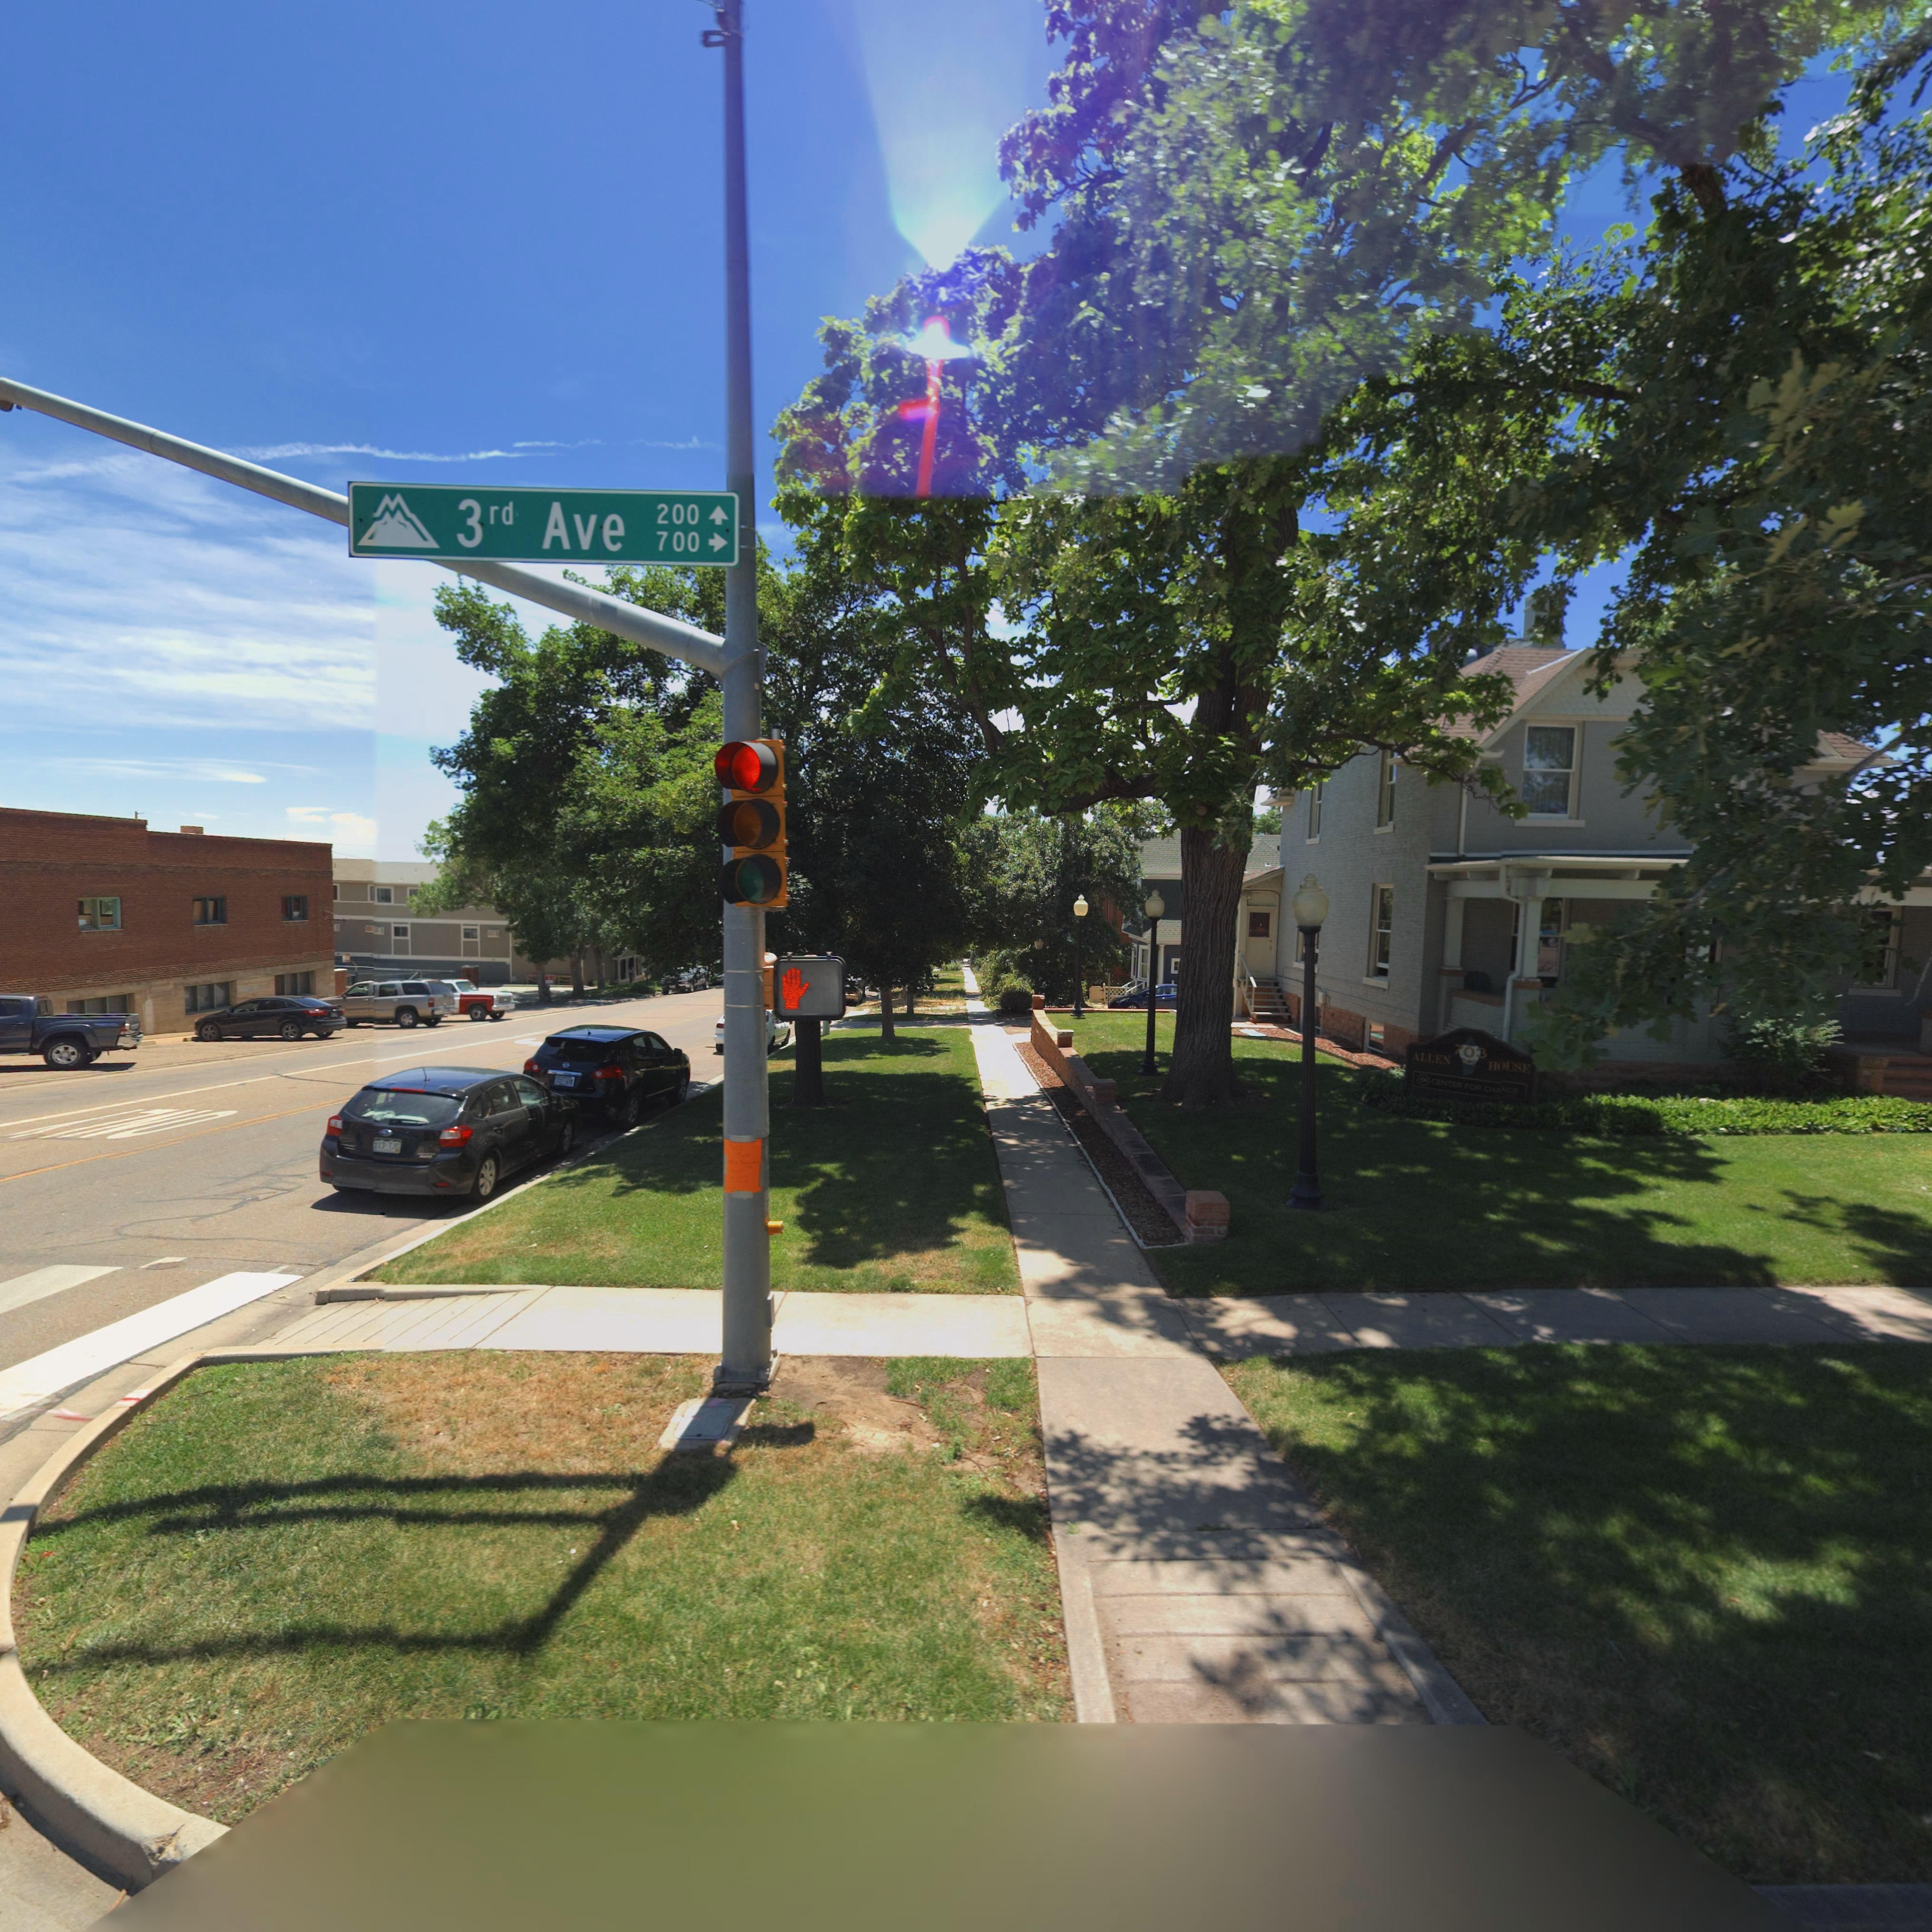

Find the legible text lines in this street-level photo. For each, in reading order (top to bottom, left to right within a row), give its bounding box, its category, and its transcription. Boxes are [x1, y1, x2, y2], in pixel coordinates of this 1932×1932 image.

[655, 503, 699, 526] StreetNumber: 200
[455, 497, 626, 552] StreetName: 3rd Ave
[656, 531, 730, 552] StreetNumberRange: 700->
[1412, 1051, 1450, 1065] BusinessName: ALLEN
[1453, 1043, 1487, 1058] StreetNumber: 703
[1488, 1060, 1531, 1074] BusinessName: HOUSE
[1431, 1078, 1517, 1097] BusinessName: CENTER FOR CHA***